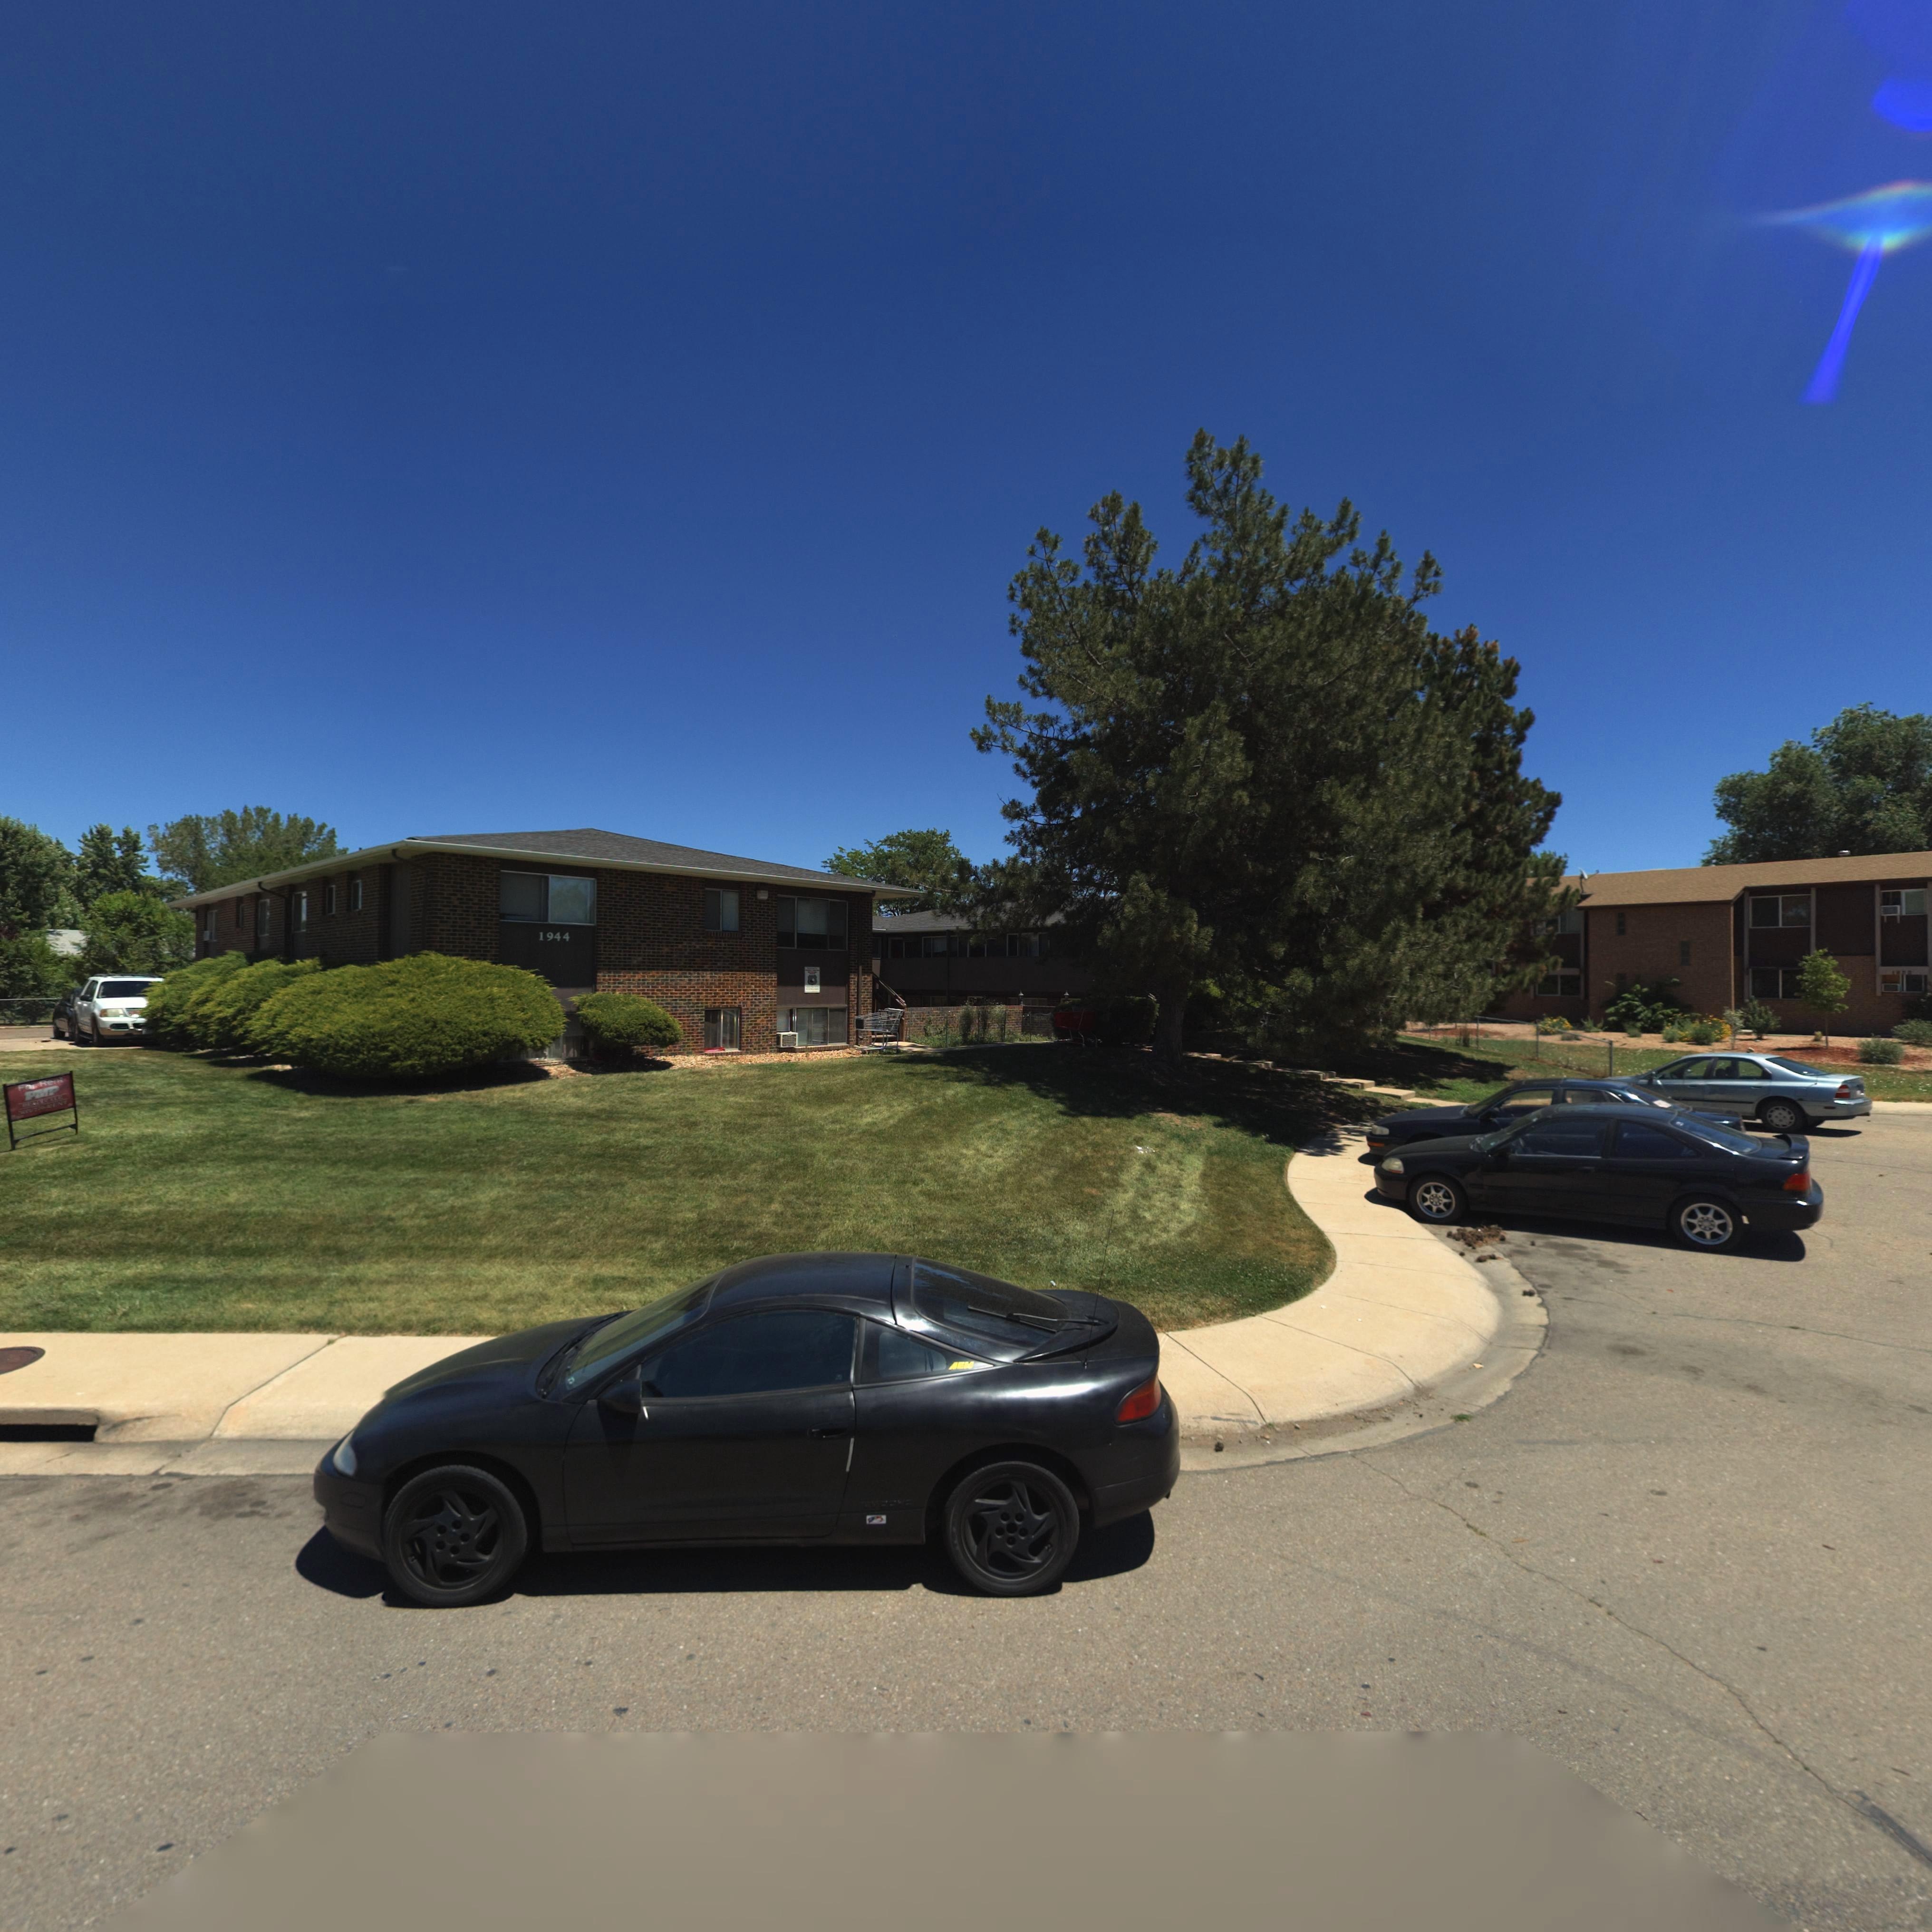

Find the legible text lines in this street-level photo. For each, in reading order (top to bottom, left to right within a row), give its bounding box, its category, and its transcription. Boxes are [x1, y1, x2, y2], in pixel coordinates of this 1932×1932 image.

[539, 931, 570, 942] StreetNumber: 1944